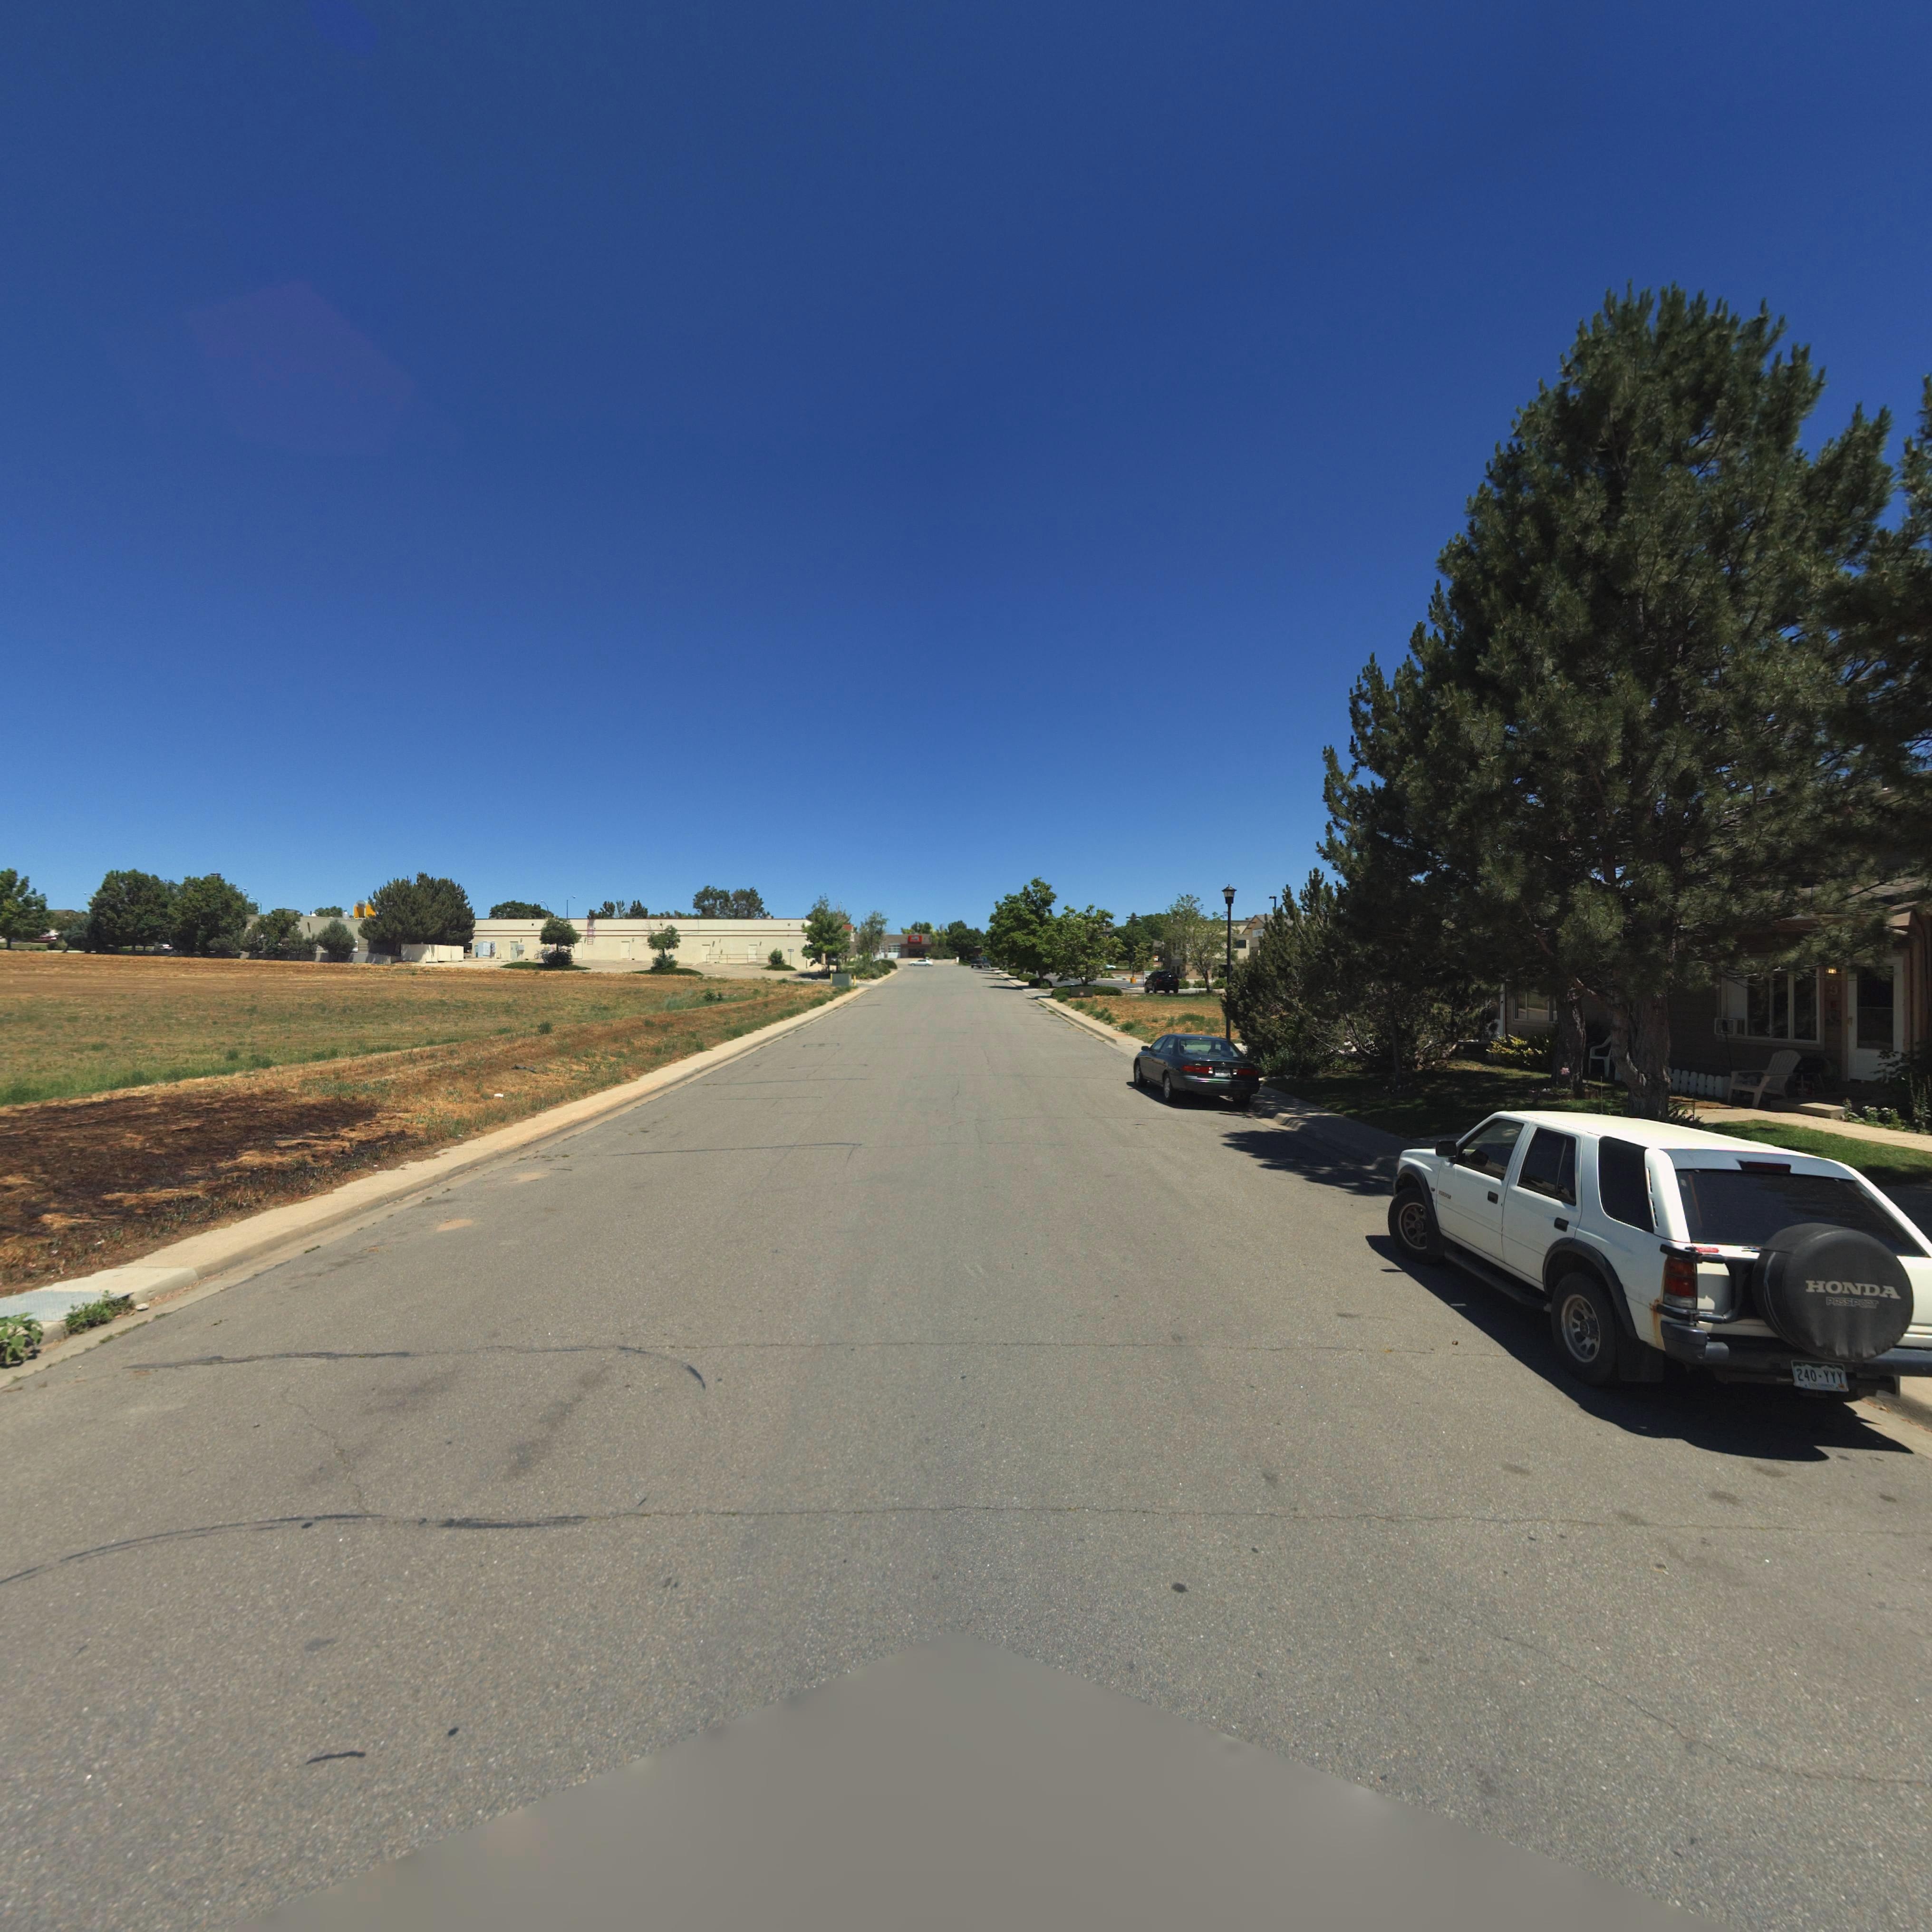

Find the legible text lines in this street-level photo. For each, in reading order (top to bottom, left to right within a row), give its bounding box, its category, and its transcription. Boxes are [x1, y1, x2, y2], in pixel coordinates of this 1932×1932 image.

[1828, 983, 1839, 996] StreetNumber: 9